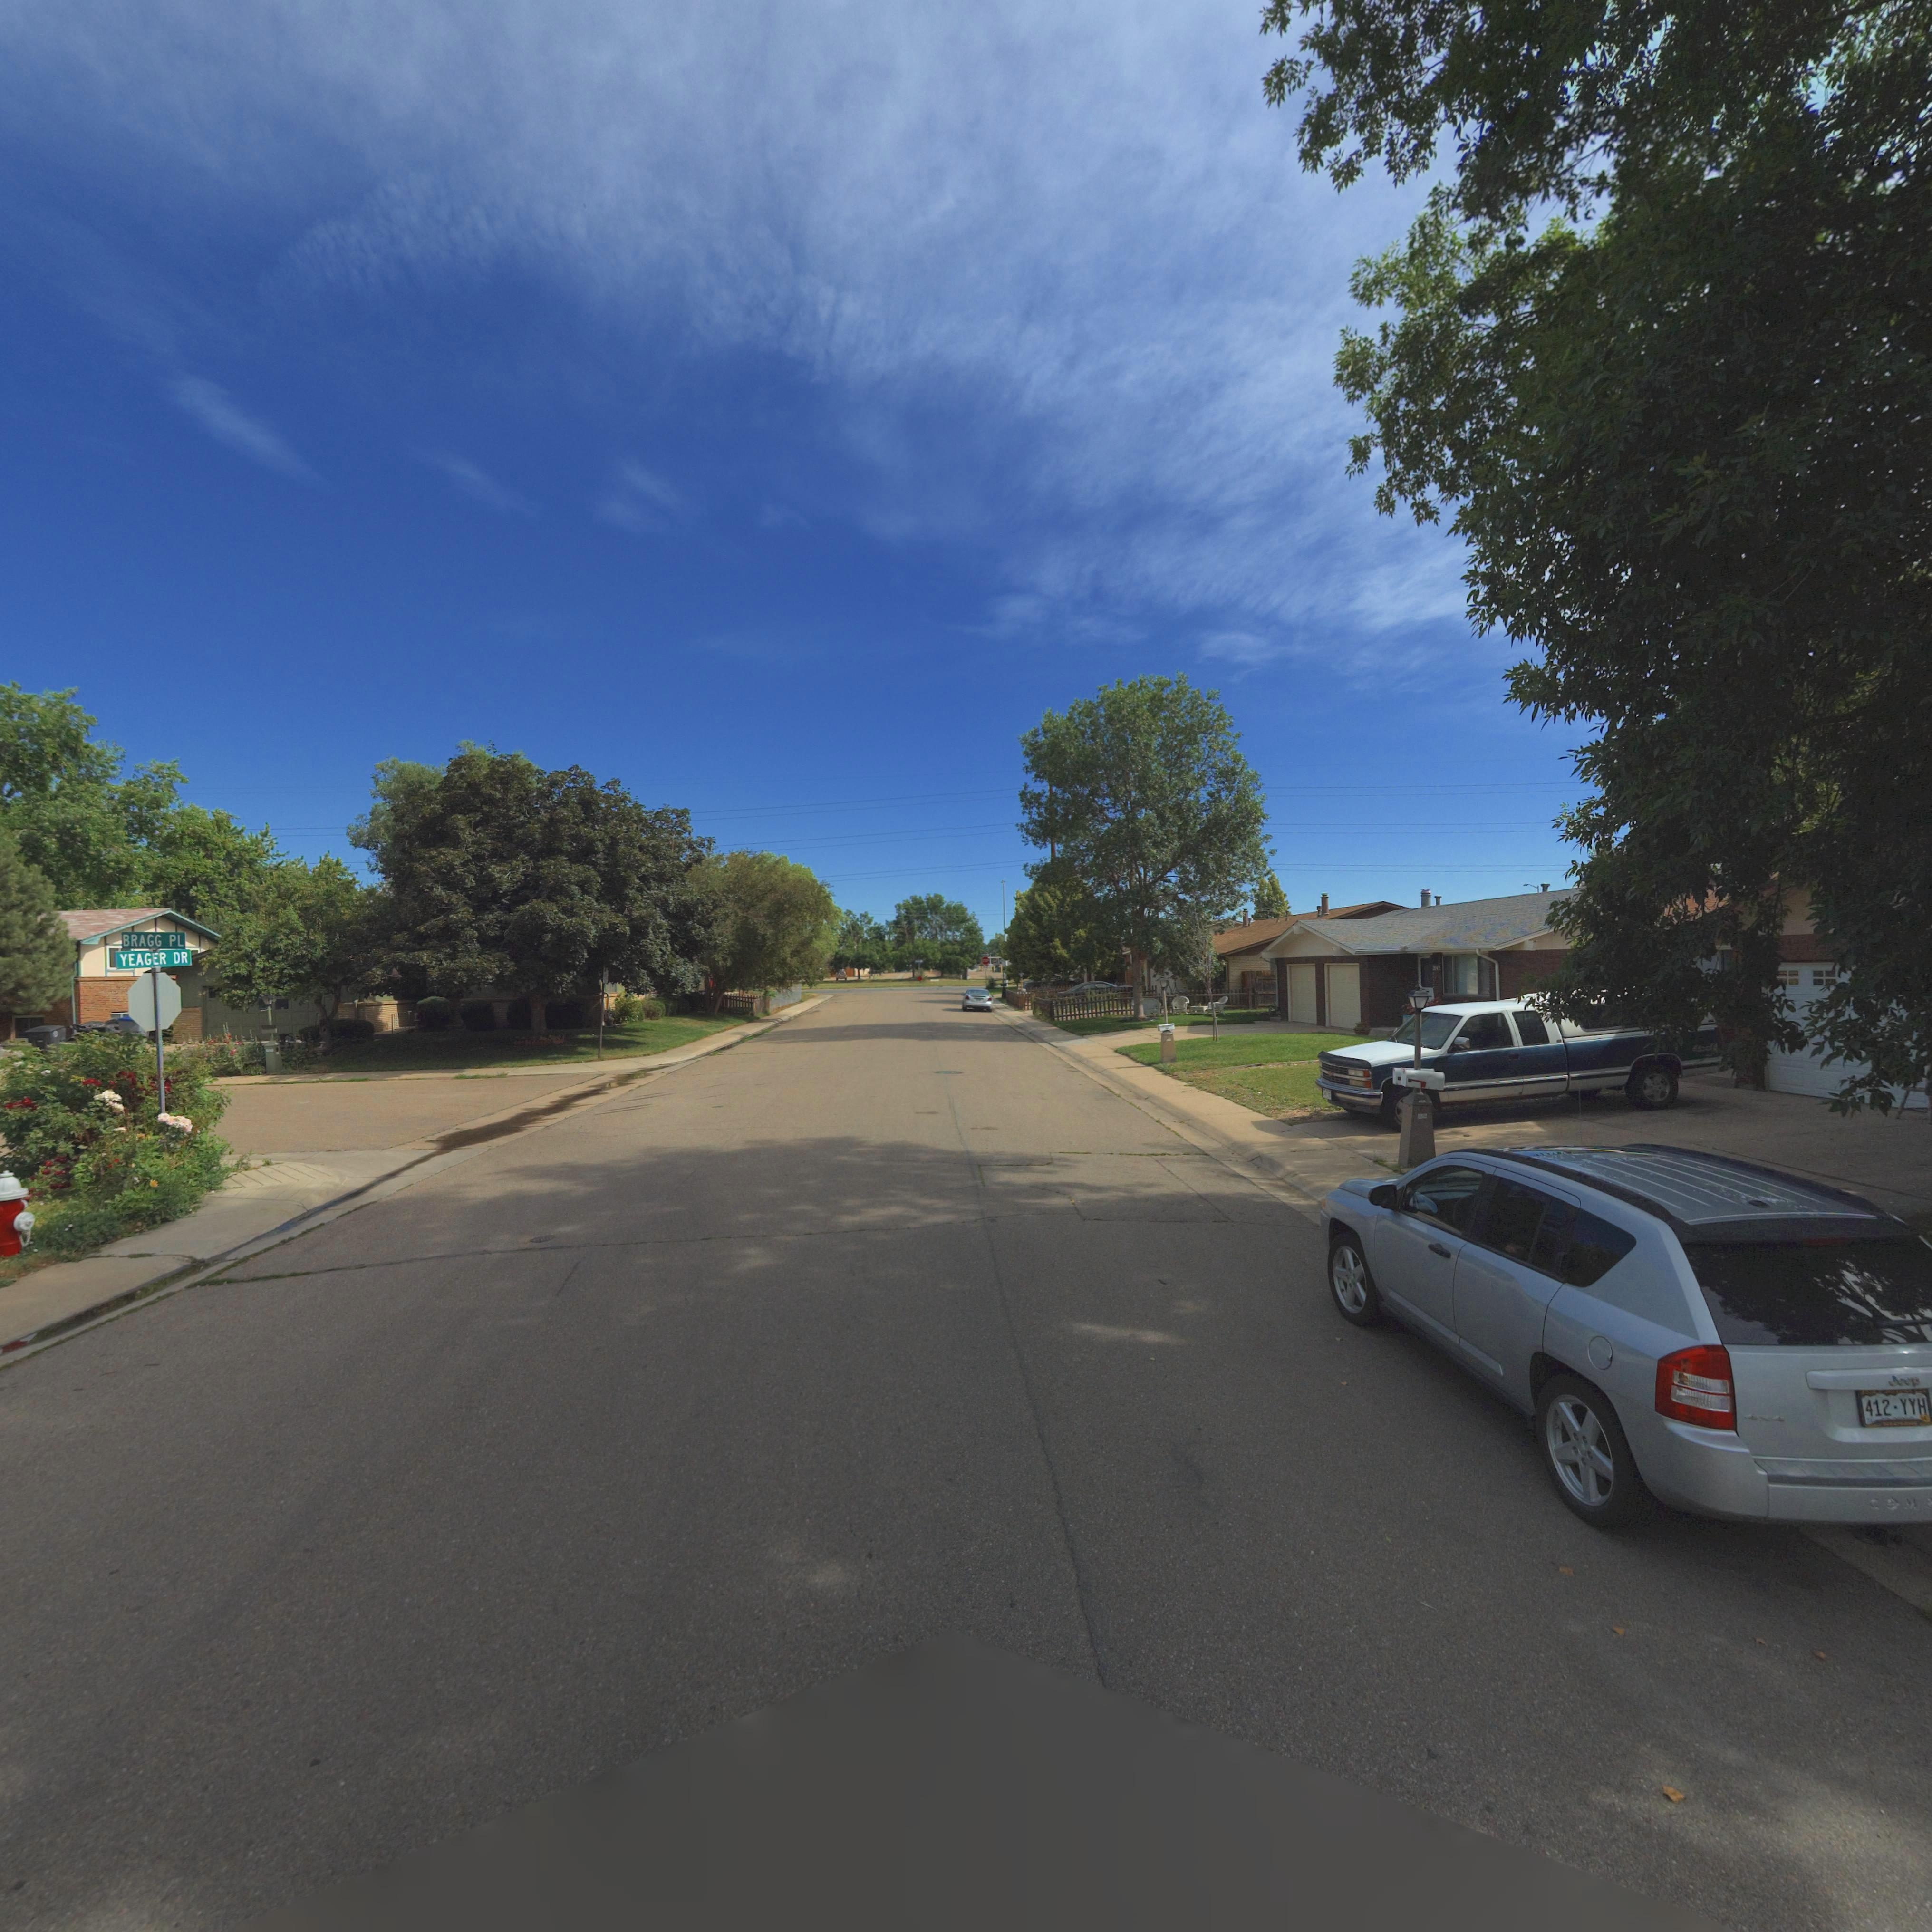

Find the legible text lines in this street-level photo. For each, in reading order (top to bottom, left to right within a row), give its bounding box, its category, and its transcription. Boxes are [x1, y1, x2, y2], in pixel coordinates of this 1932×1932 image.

[123, 934, 184, 947] StreetName: BRAGG PL
[119, 951, 188, 966] StreetName: YEAGER DR